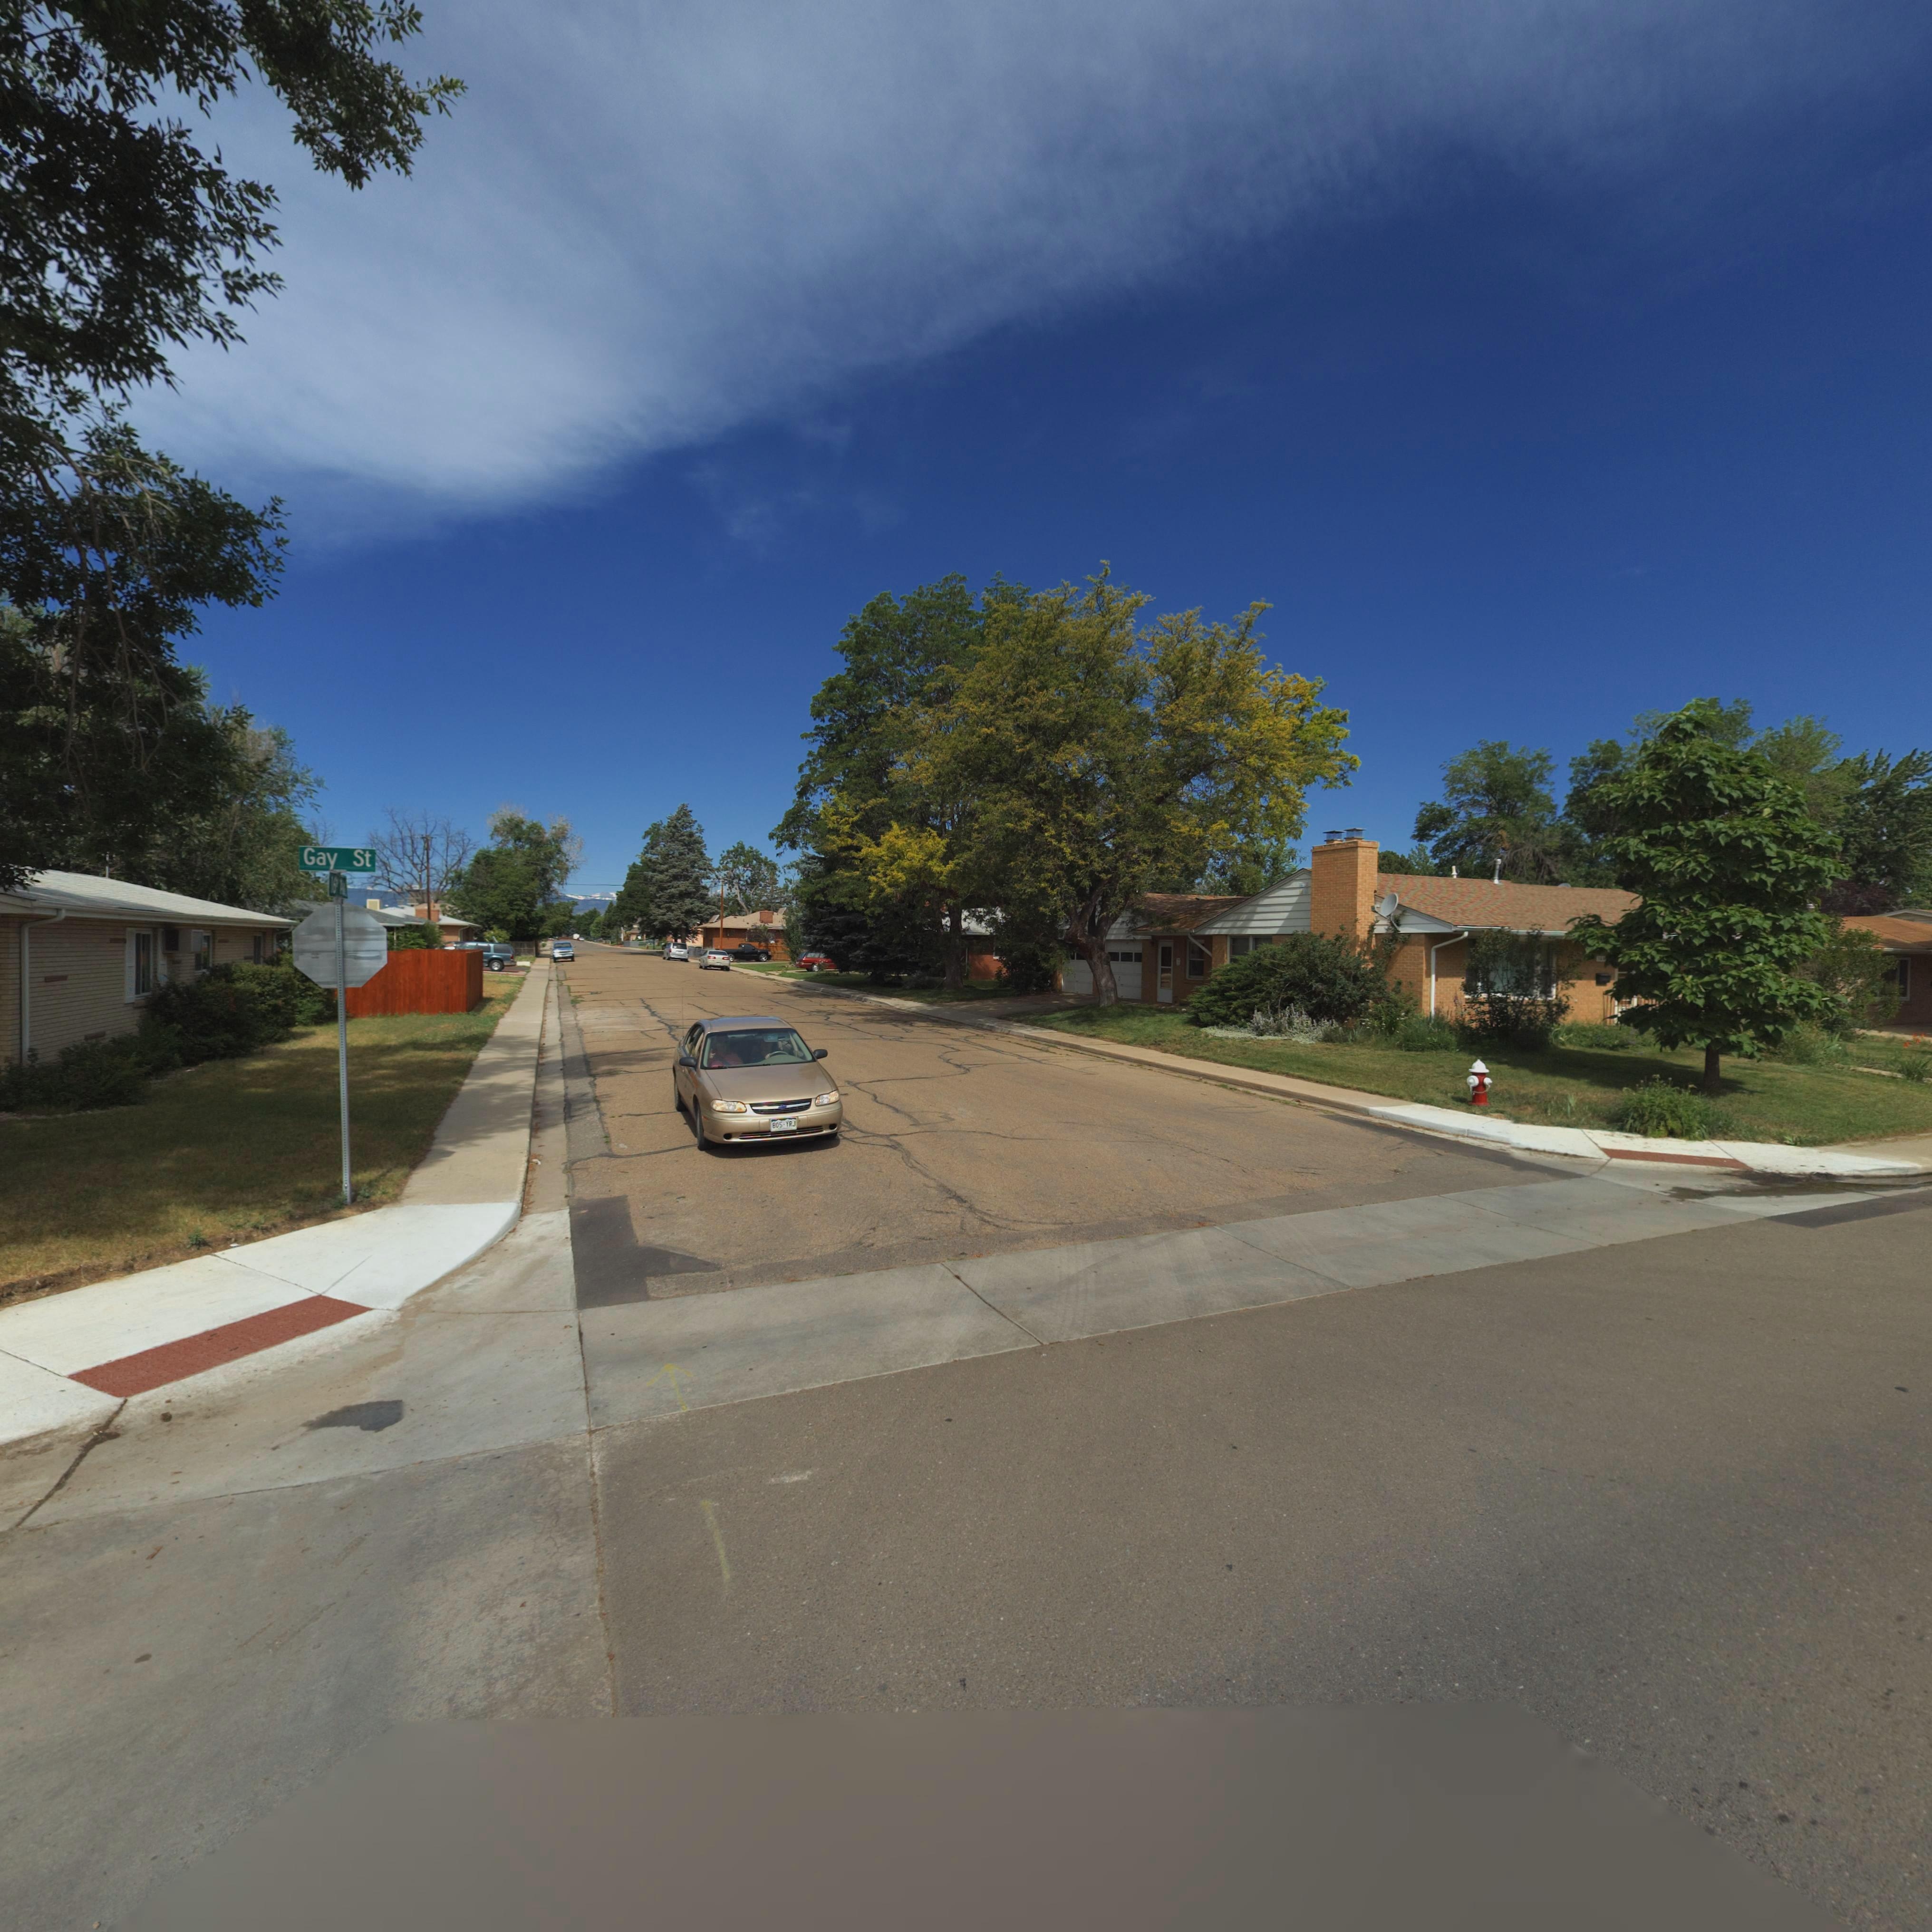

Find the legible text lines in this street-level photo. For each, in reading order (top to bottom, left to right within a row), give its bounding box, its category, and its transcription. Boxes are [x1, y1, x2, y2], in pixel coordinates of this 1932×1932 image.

[302, 847, 372, 870] StreetName: Gay St
[329, 875, 346, 896] StreetName: 16** Av